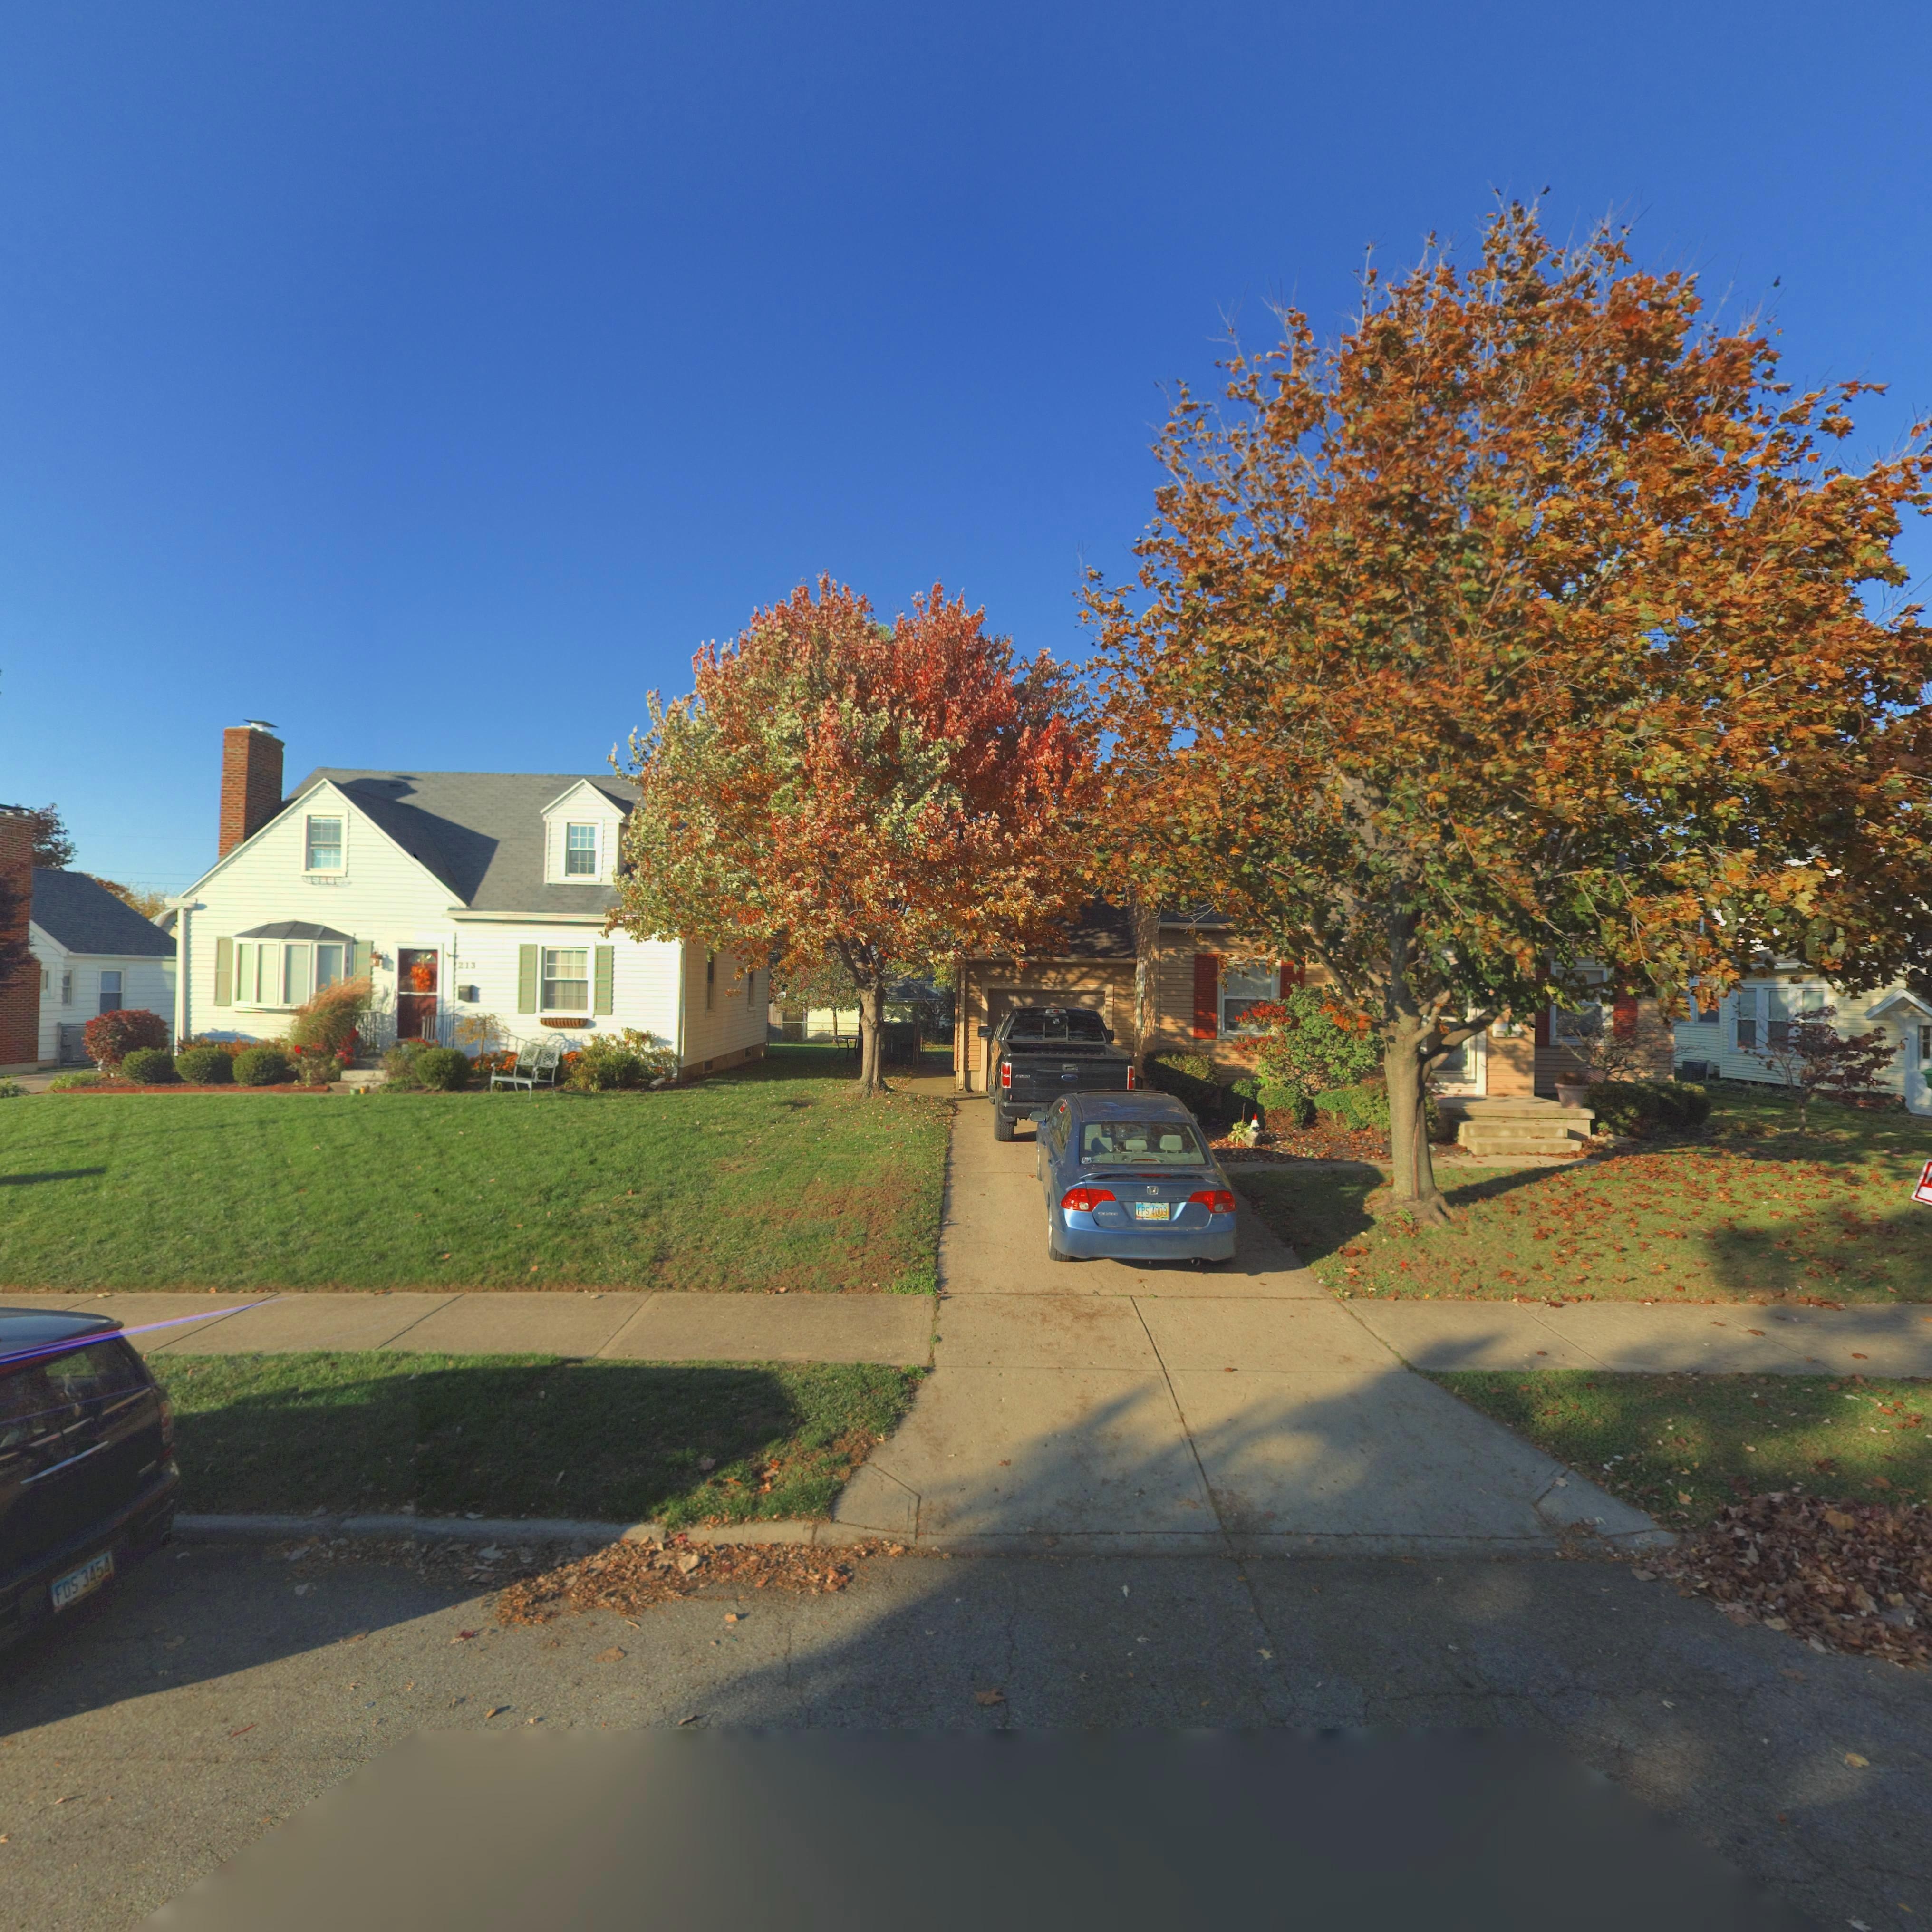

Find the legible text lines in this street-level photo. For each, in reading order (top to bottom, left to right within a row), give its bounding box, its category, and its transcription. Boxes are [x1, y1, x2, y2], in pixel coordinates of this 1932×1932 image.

[457, 961, 477, 970] StreetNumber: 213